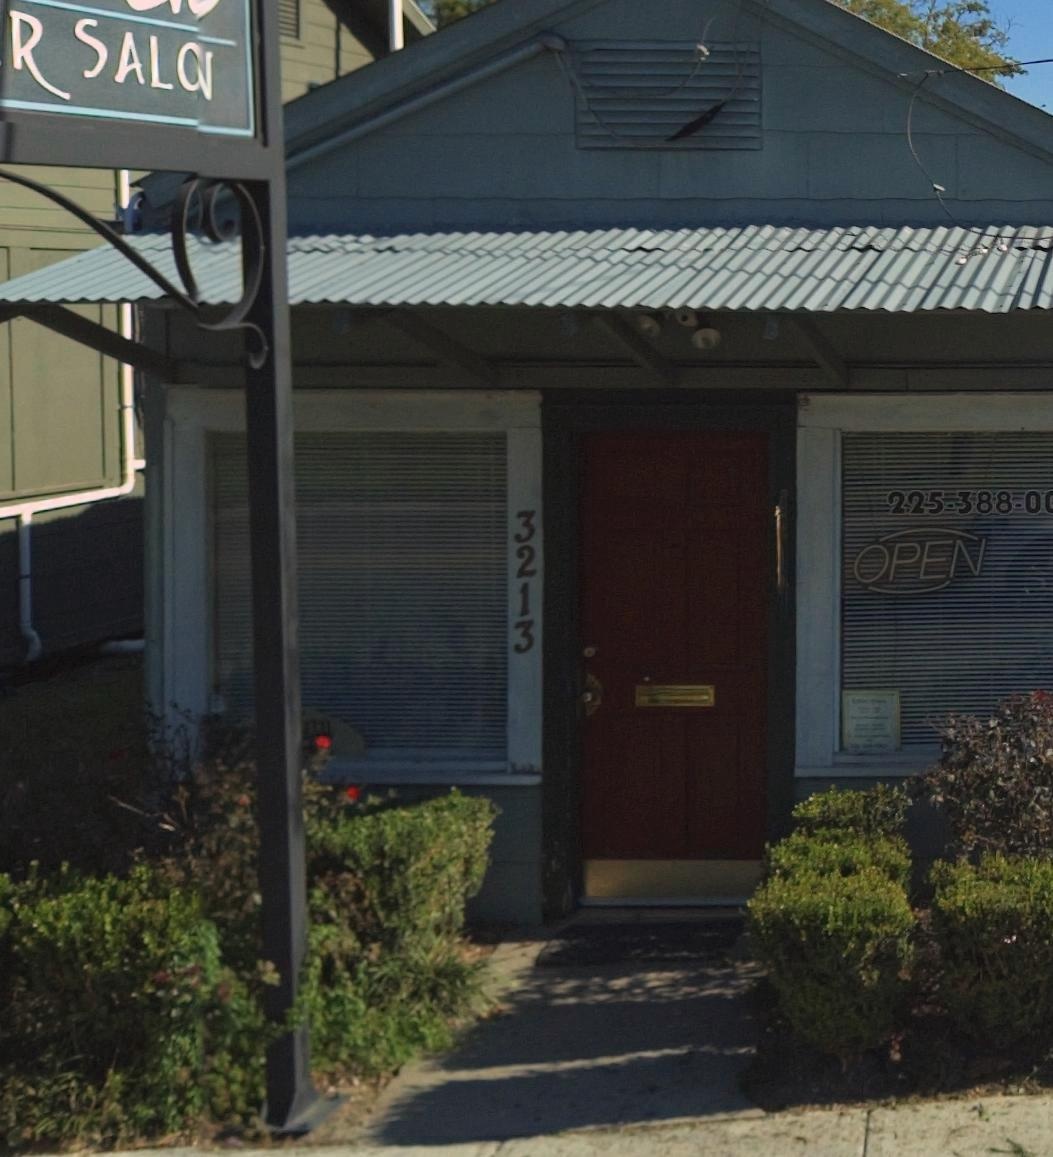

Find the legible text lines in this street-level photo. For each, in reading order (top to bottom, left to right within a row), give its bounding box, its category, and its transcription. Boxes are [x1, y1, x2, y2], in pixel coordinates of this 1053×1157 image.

[4, 3, 184, 111] BusinessName: R SAL
[885, 488, 1046, 517] None: 225-388-0
[510, 505, 541, 662] StreetNumber: 3213
[847, 532, 995, 589] None: OPEN